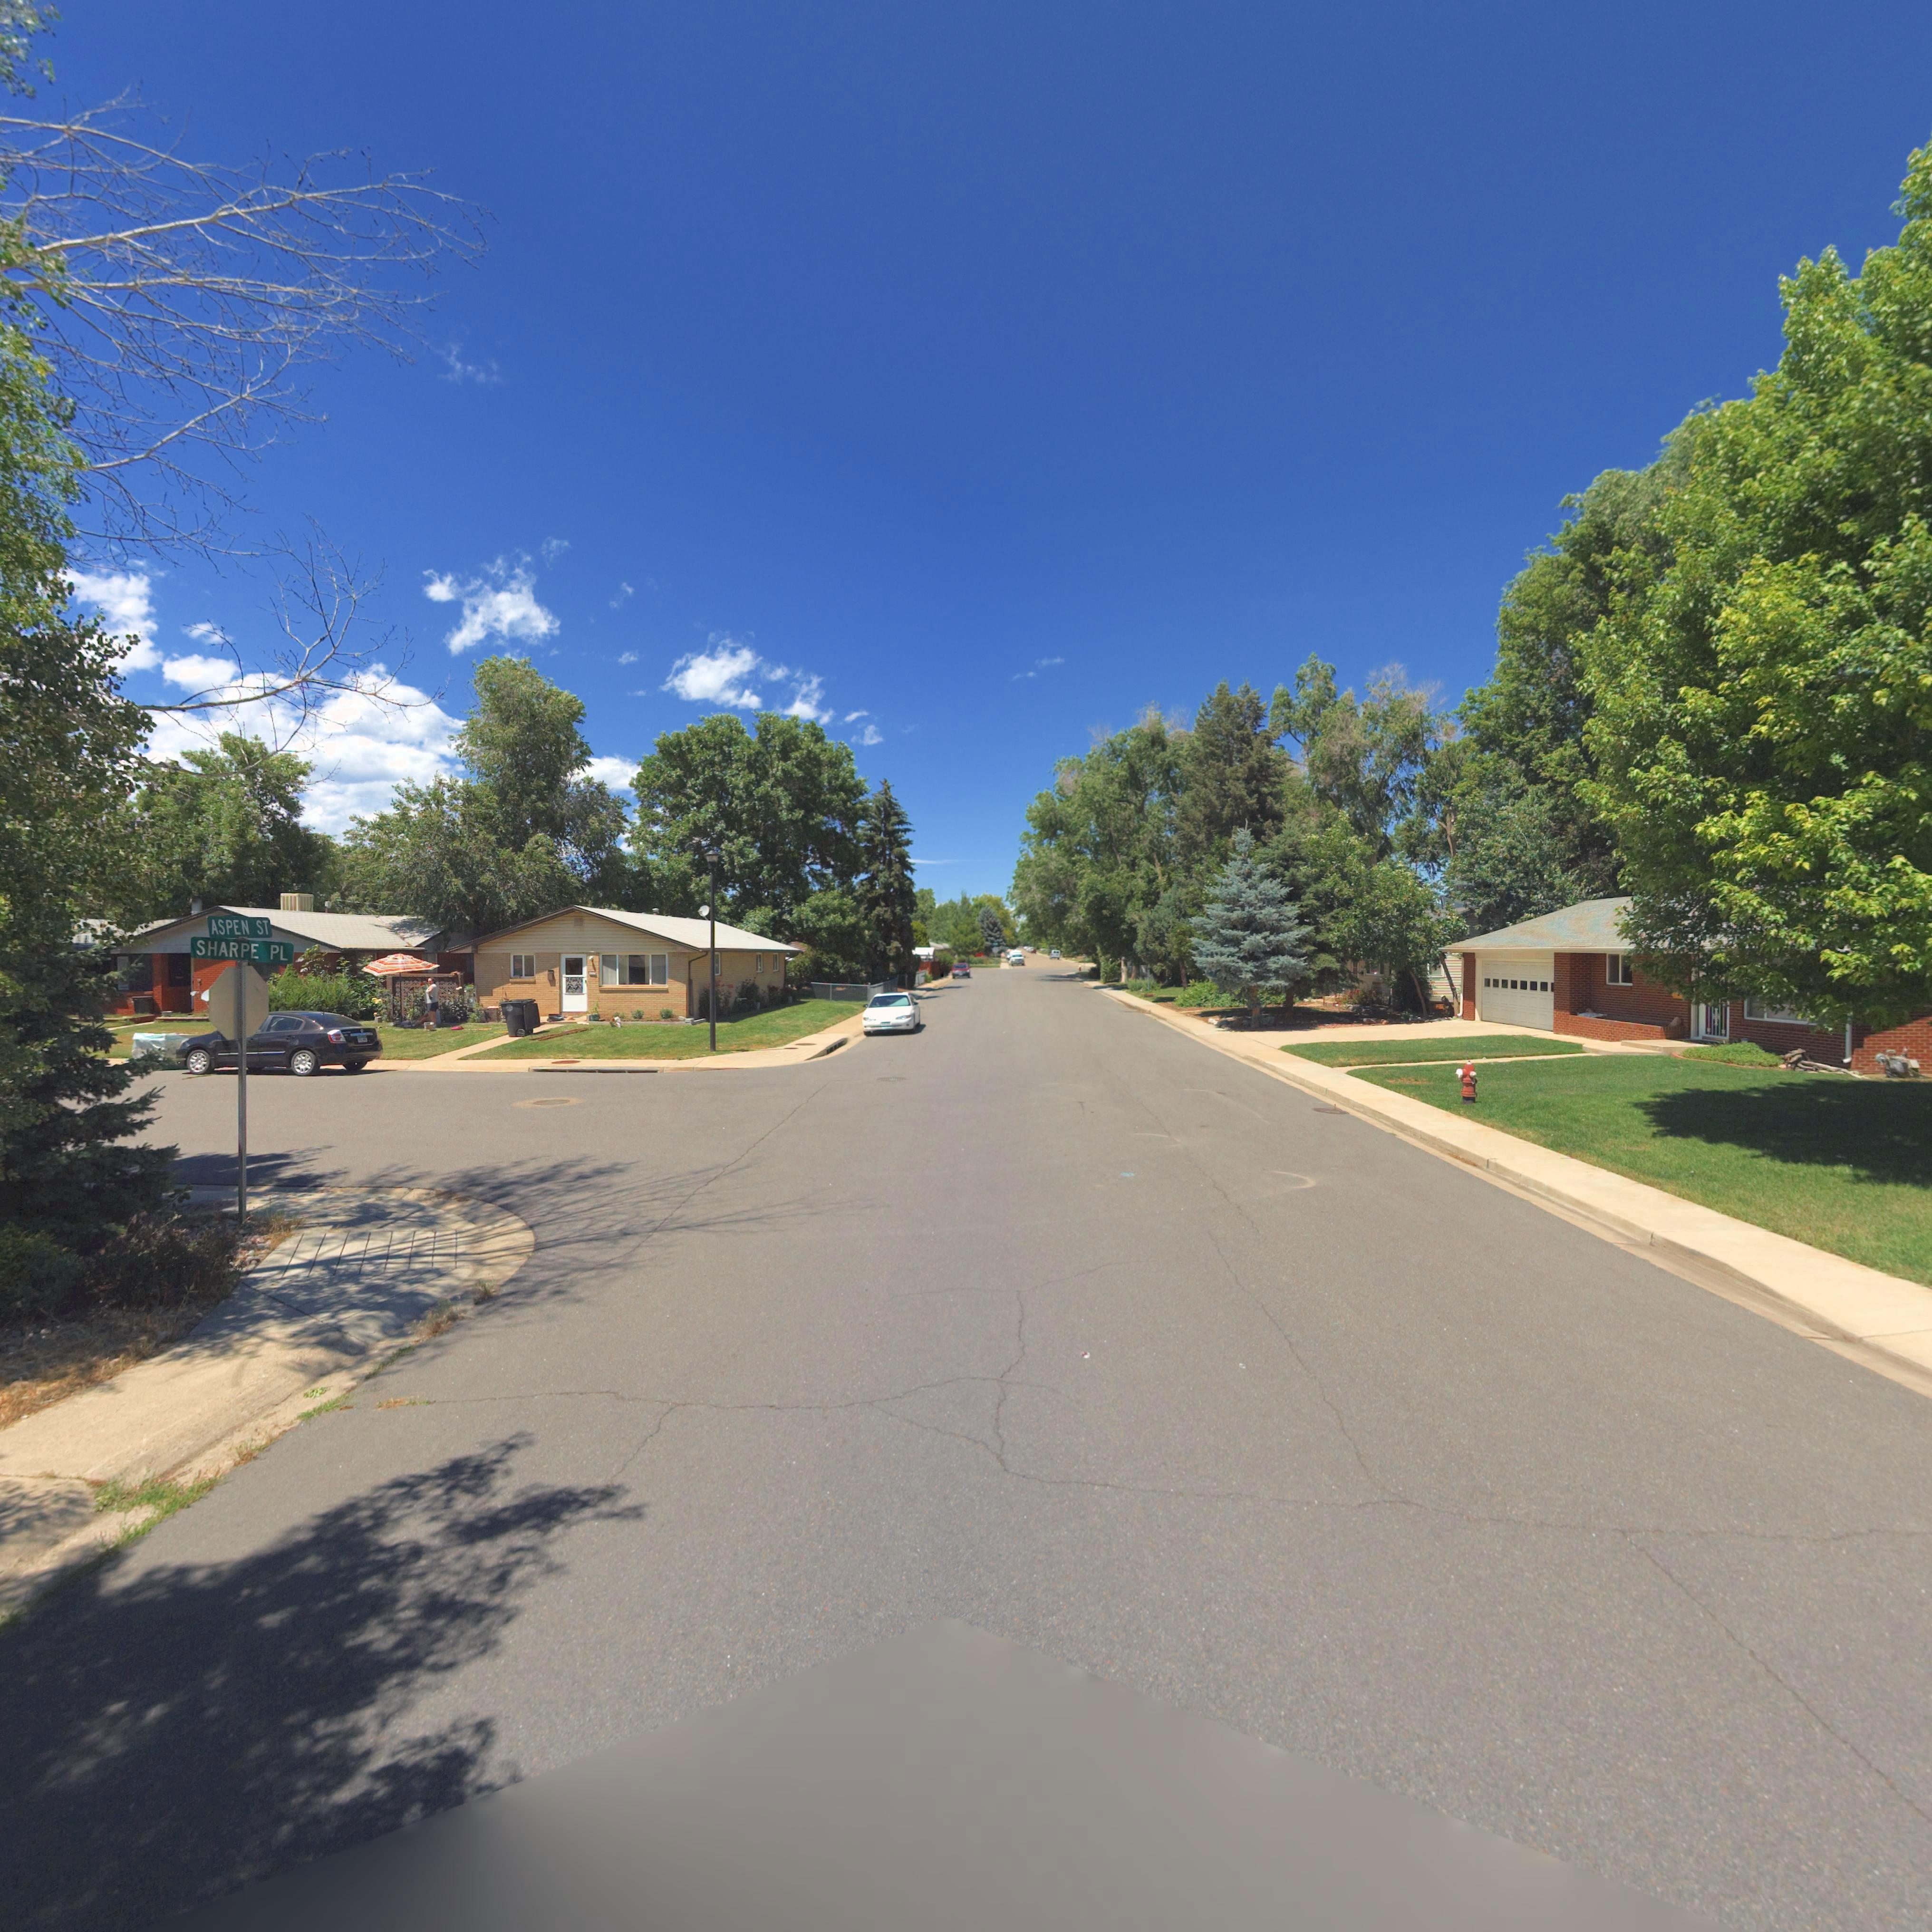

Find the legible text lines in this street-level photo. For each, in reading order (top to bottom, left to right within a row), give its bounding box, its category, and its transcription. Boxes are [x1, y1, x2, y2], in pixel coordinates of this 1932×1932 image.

[211, 918, 270, 936] StreetName: ASPEN ST
[195, 939, 289, 961] StreetName: SHARPE PL